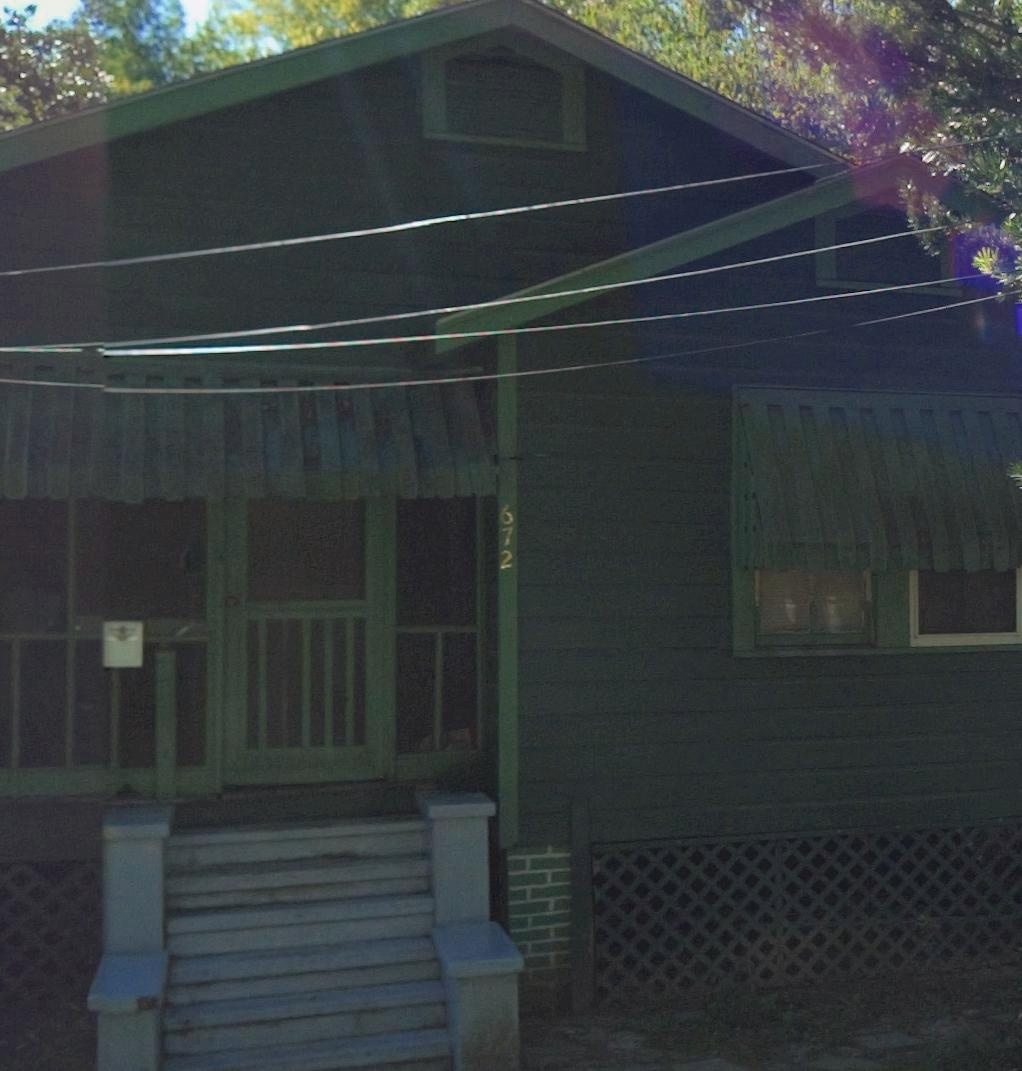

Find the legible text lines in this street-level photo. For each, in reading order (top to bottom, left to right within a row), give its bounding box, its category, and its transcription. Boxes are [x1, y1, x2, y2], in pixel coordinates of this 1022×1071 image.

[498, 502, 516, 573] StreetNumber: 672